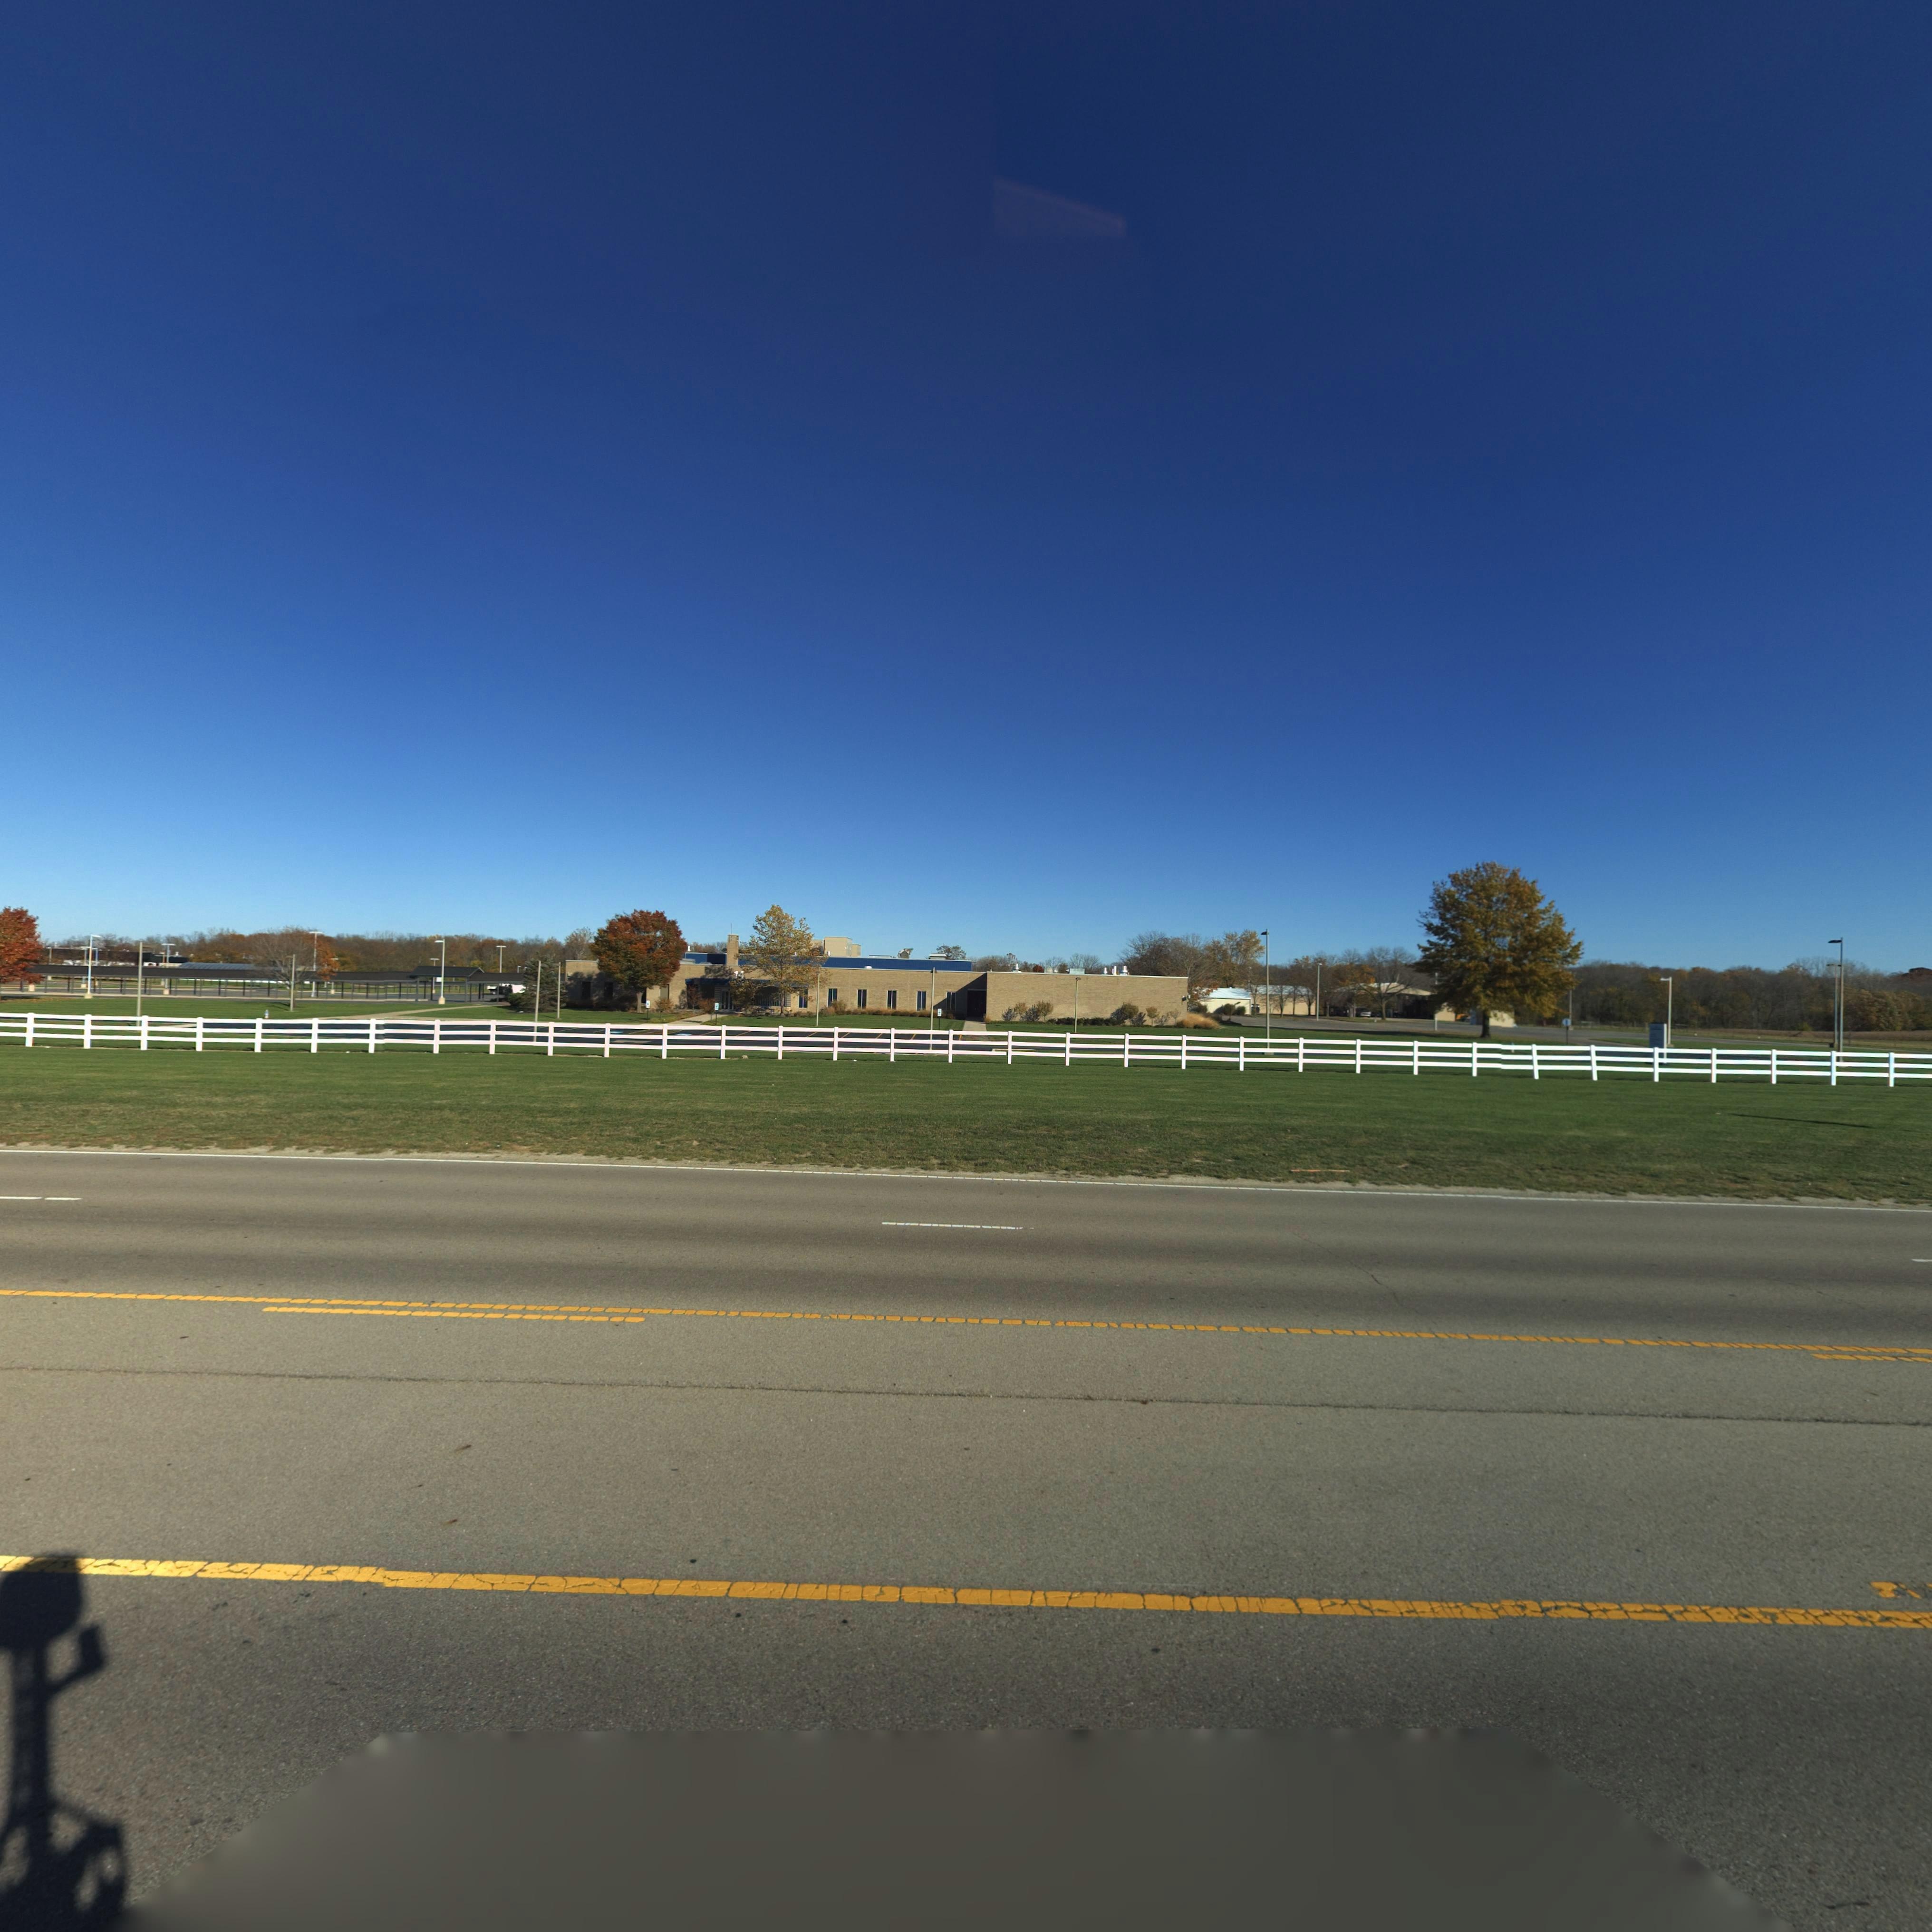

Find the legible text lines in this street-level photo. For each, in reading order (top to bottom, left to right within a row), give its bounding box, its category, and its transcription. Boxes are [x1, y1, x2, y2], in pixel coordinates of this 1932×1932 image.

[733, 970, 744, 979] StreetNumber: 14